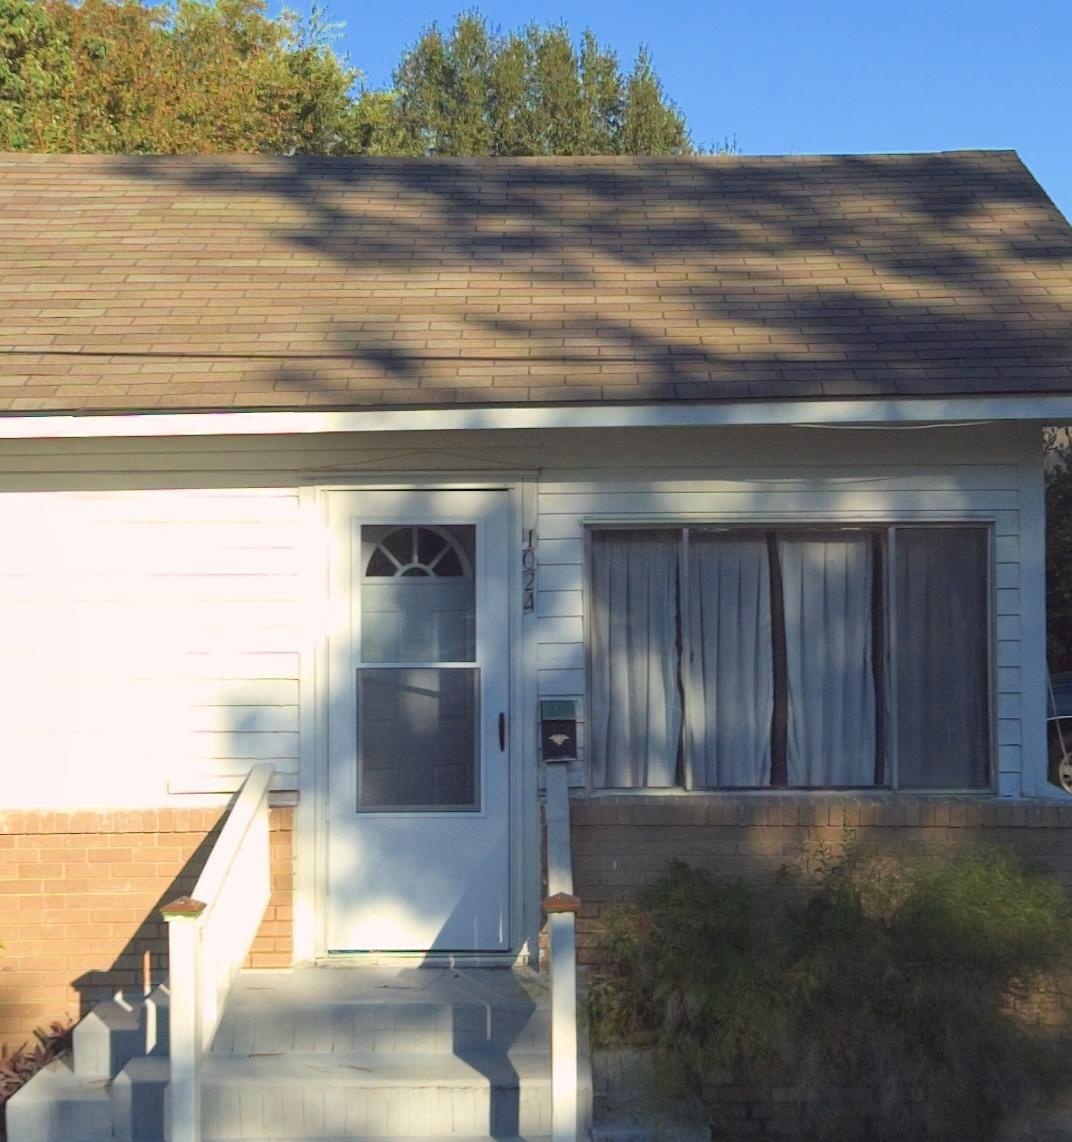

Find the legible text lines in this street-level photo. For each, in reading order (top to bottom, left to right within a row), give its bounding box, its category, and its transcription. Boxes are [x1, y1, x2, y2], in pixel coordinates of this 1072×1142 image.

[520, 526, 538, 617] StreetNumber: 1024